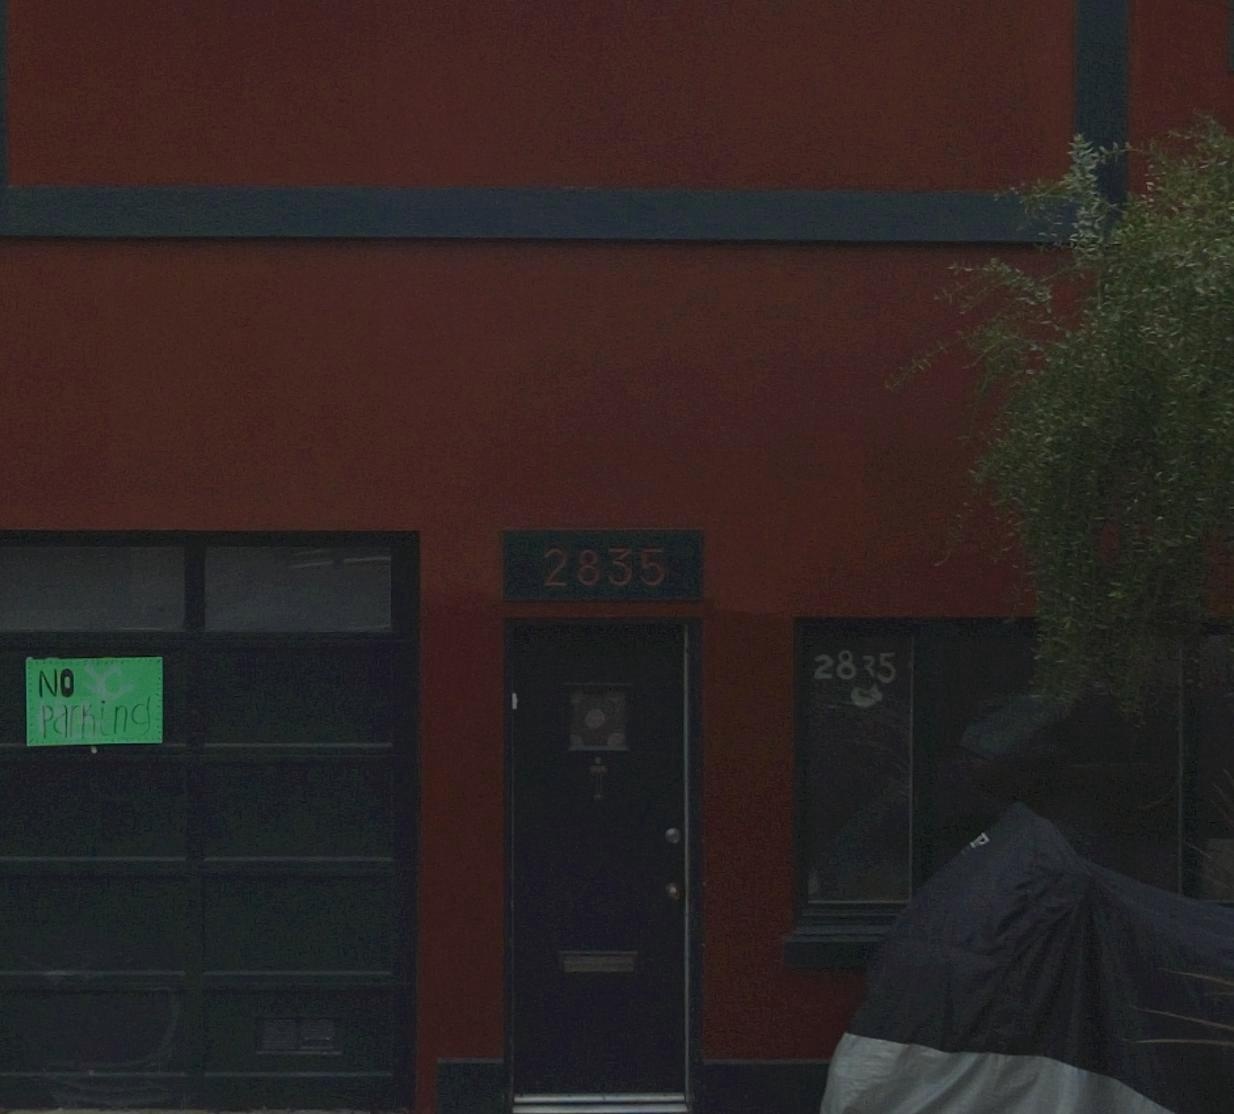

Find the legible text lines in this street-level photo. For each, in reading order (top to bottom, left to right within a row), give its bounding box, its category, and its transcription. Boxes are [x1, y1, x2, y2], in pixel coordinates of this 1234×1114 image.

[541, 544, 668, 589] StreetNumber: 2835
[37, 666, 76, 700] None: NO
[812, 650, 898, 687] StreetNumber: 2835
[38, 702, 151, 739] None: Parking